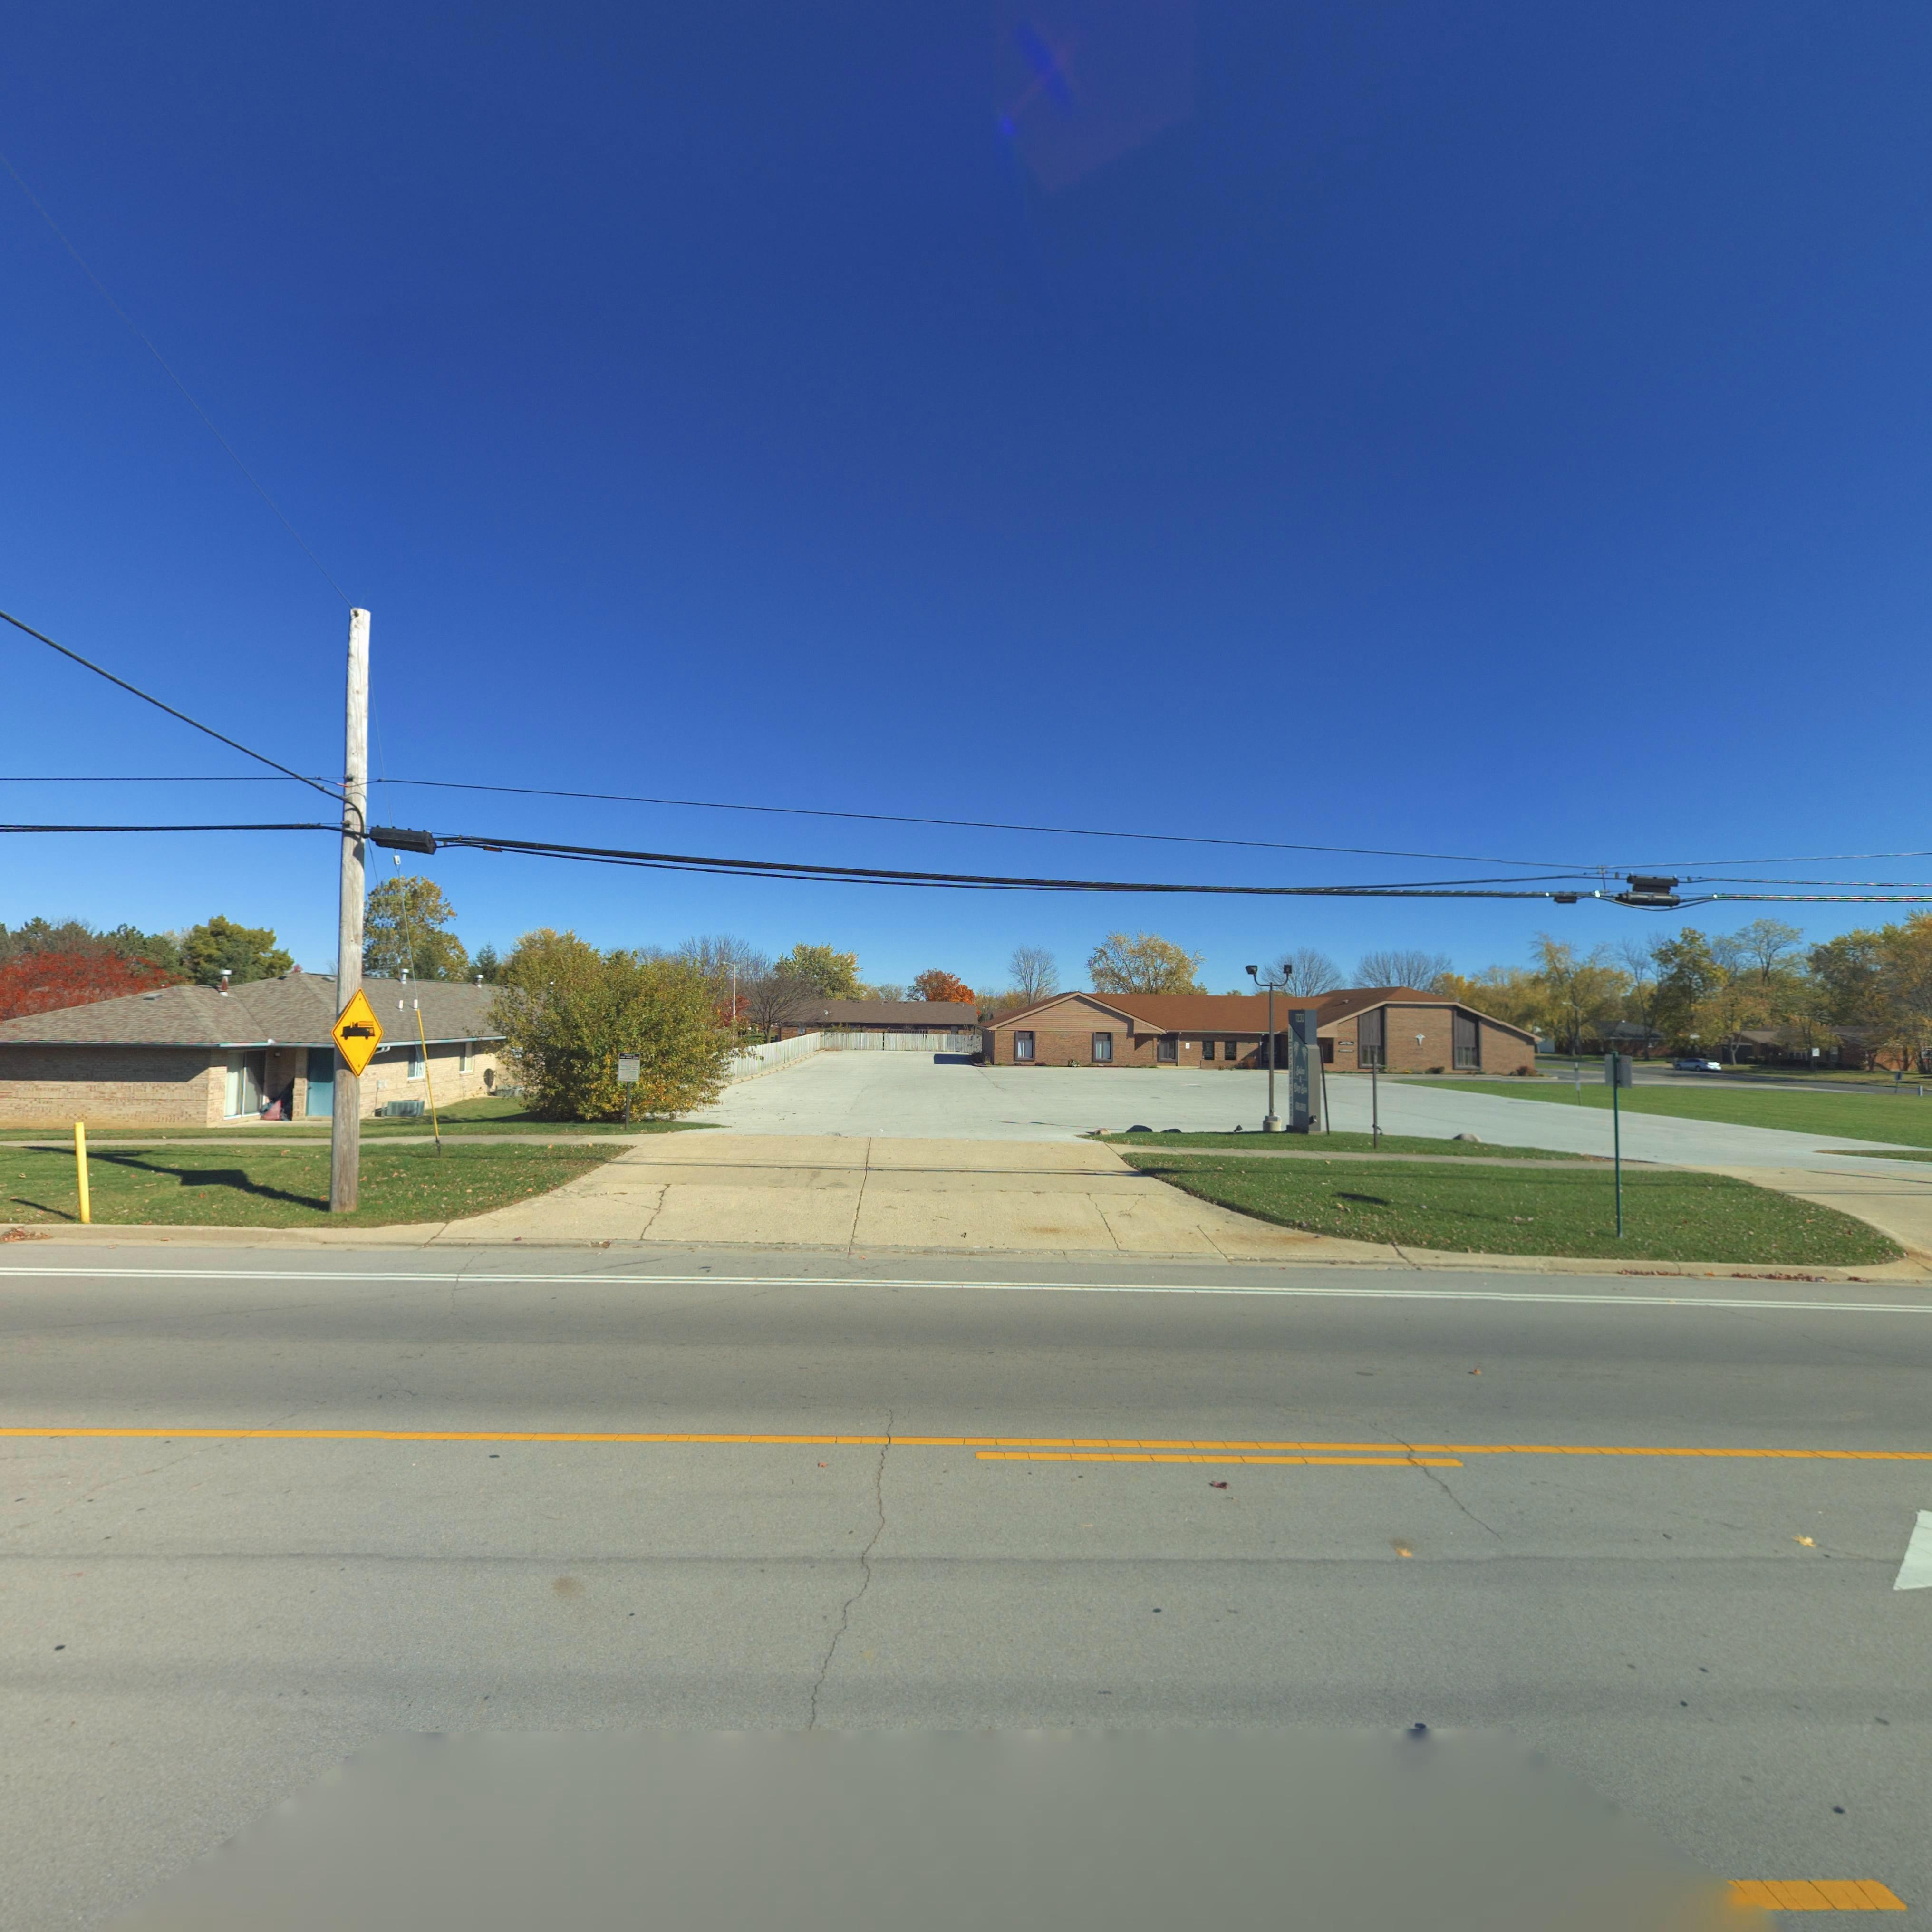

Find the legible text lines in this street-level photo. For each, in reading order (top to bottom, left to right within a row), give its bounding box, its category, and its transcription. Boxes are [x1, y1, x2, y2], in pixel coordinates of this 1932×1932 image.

[1294, 1013, 1305, 1023] StreetNumber: **30
[1287, 1027, 1293, 1118] BusinessName: I*pressio**